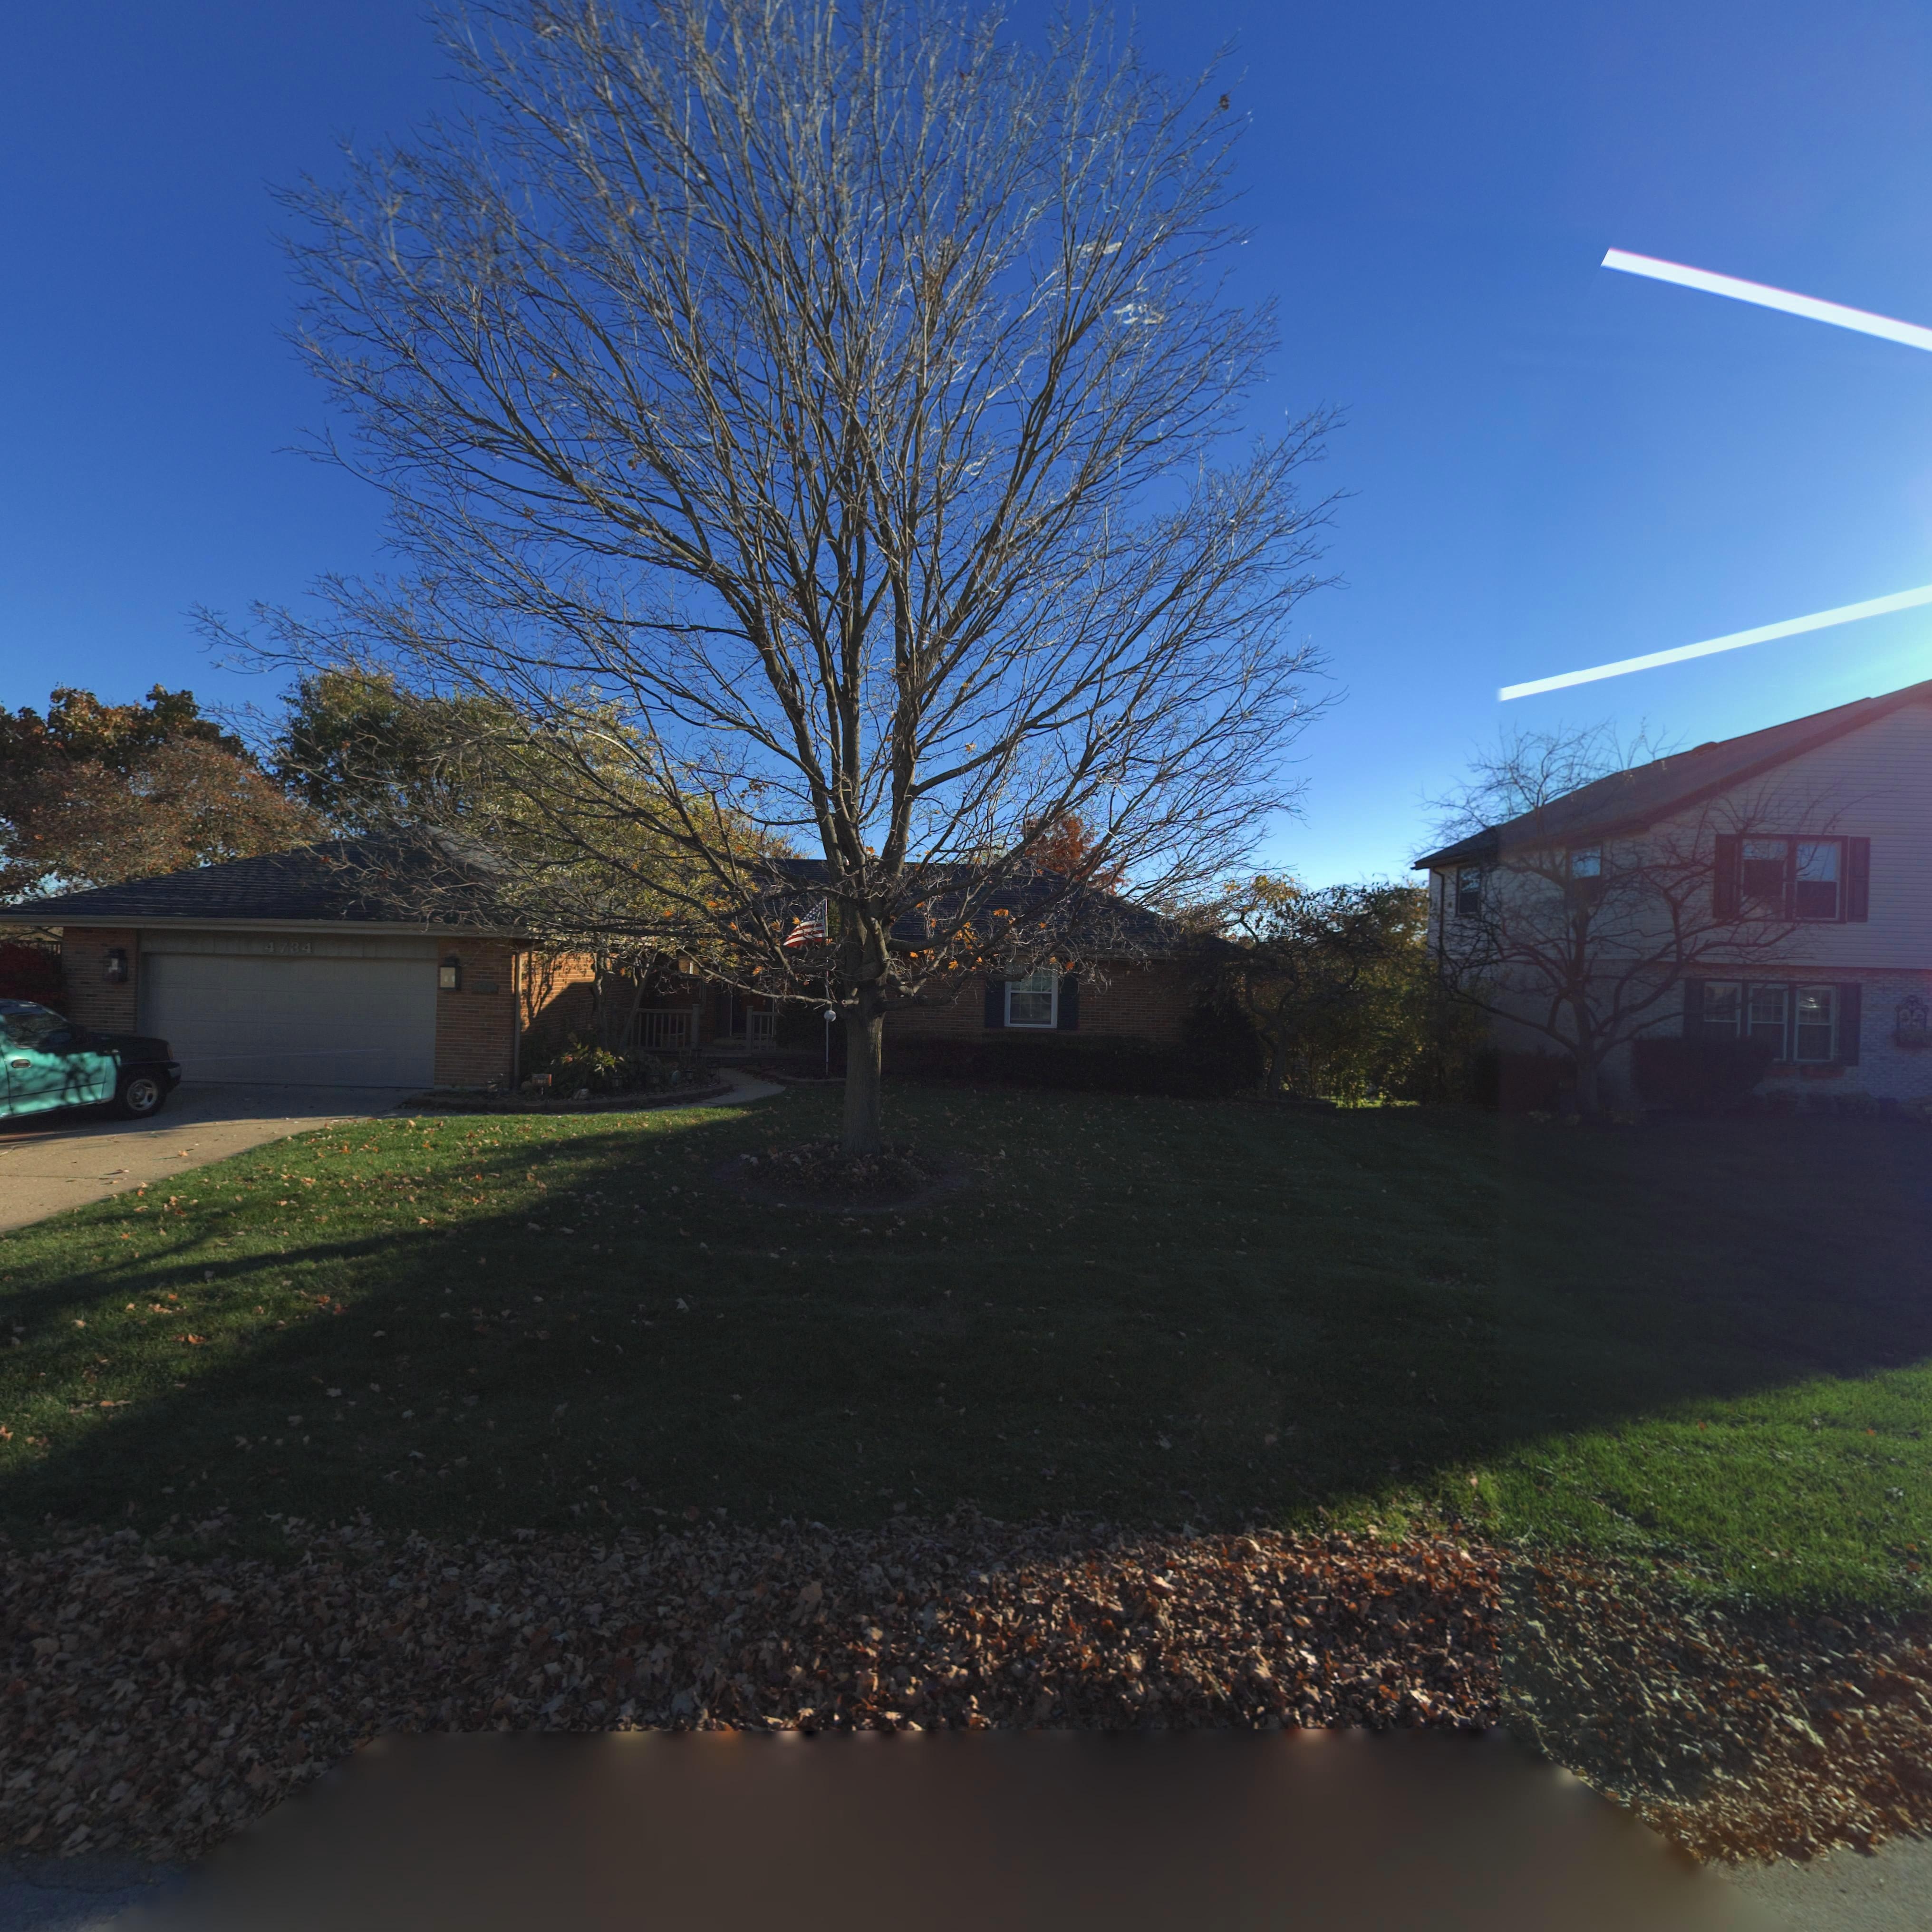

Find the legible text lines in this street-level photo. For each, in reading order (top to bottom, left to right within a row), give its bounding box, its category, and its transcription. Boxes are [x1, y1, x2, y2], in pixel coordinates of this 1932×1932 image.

[263, 941, 314, 955] StreetNumber: 4734